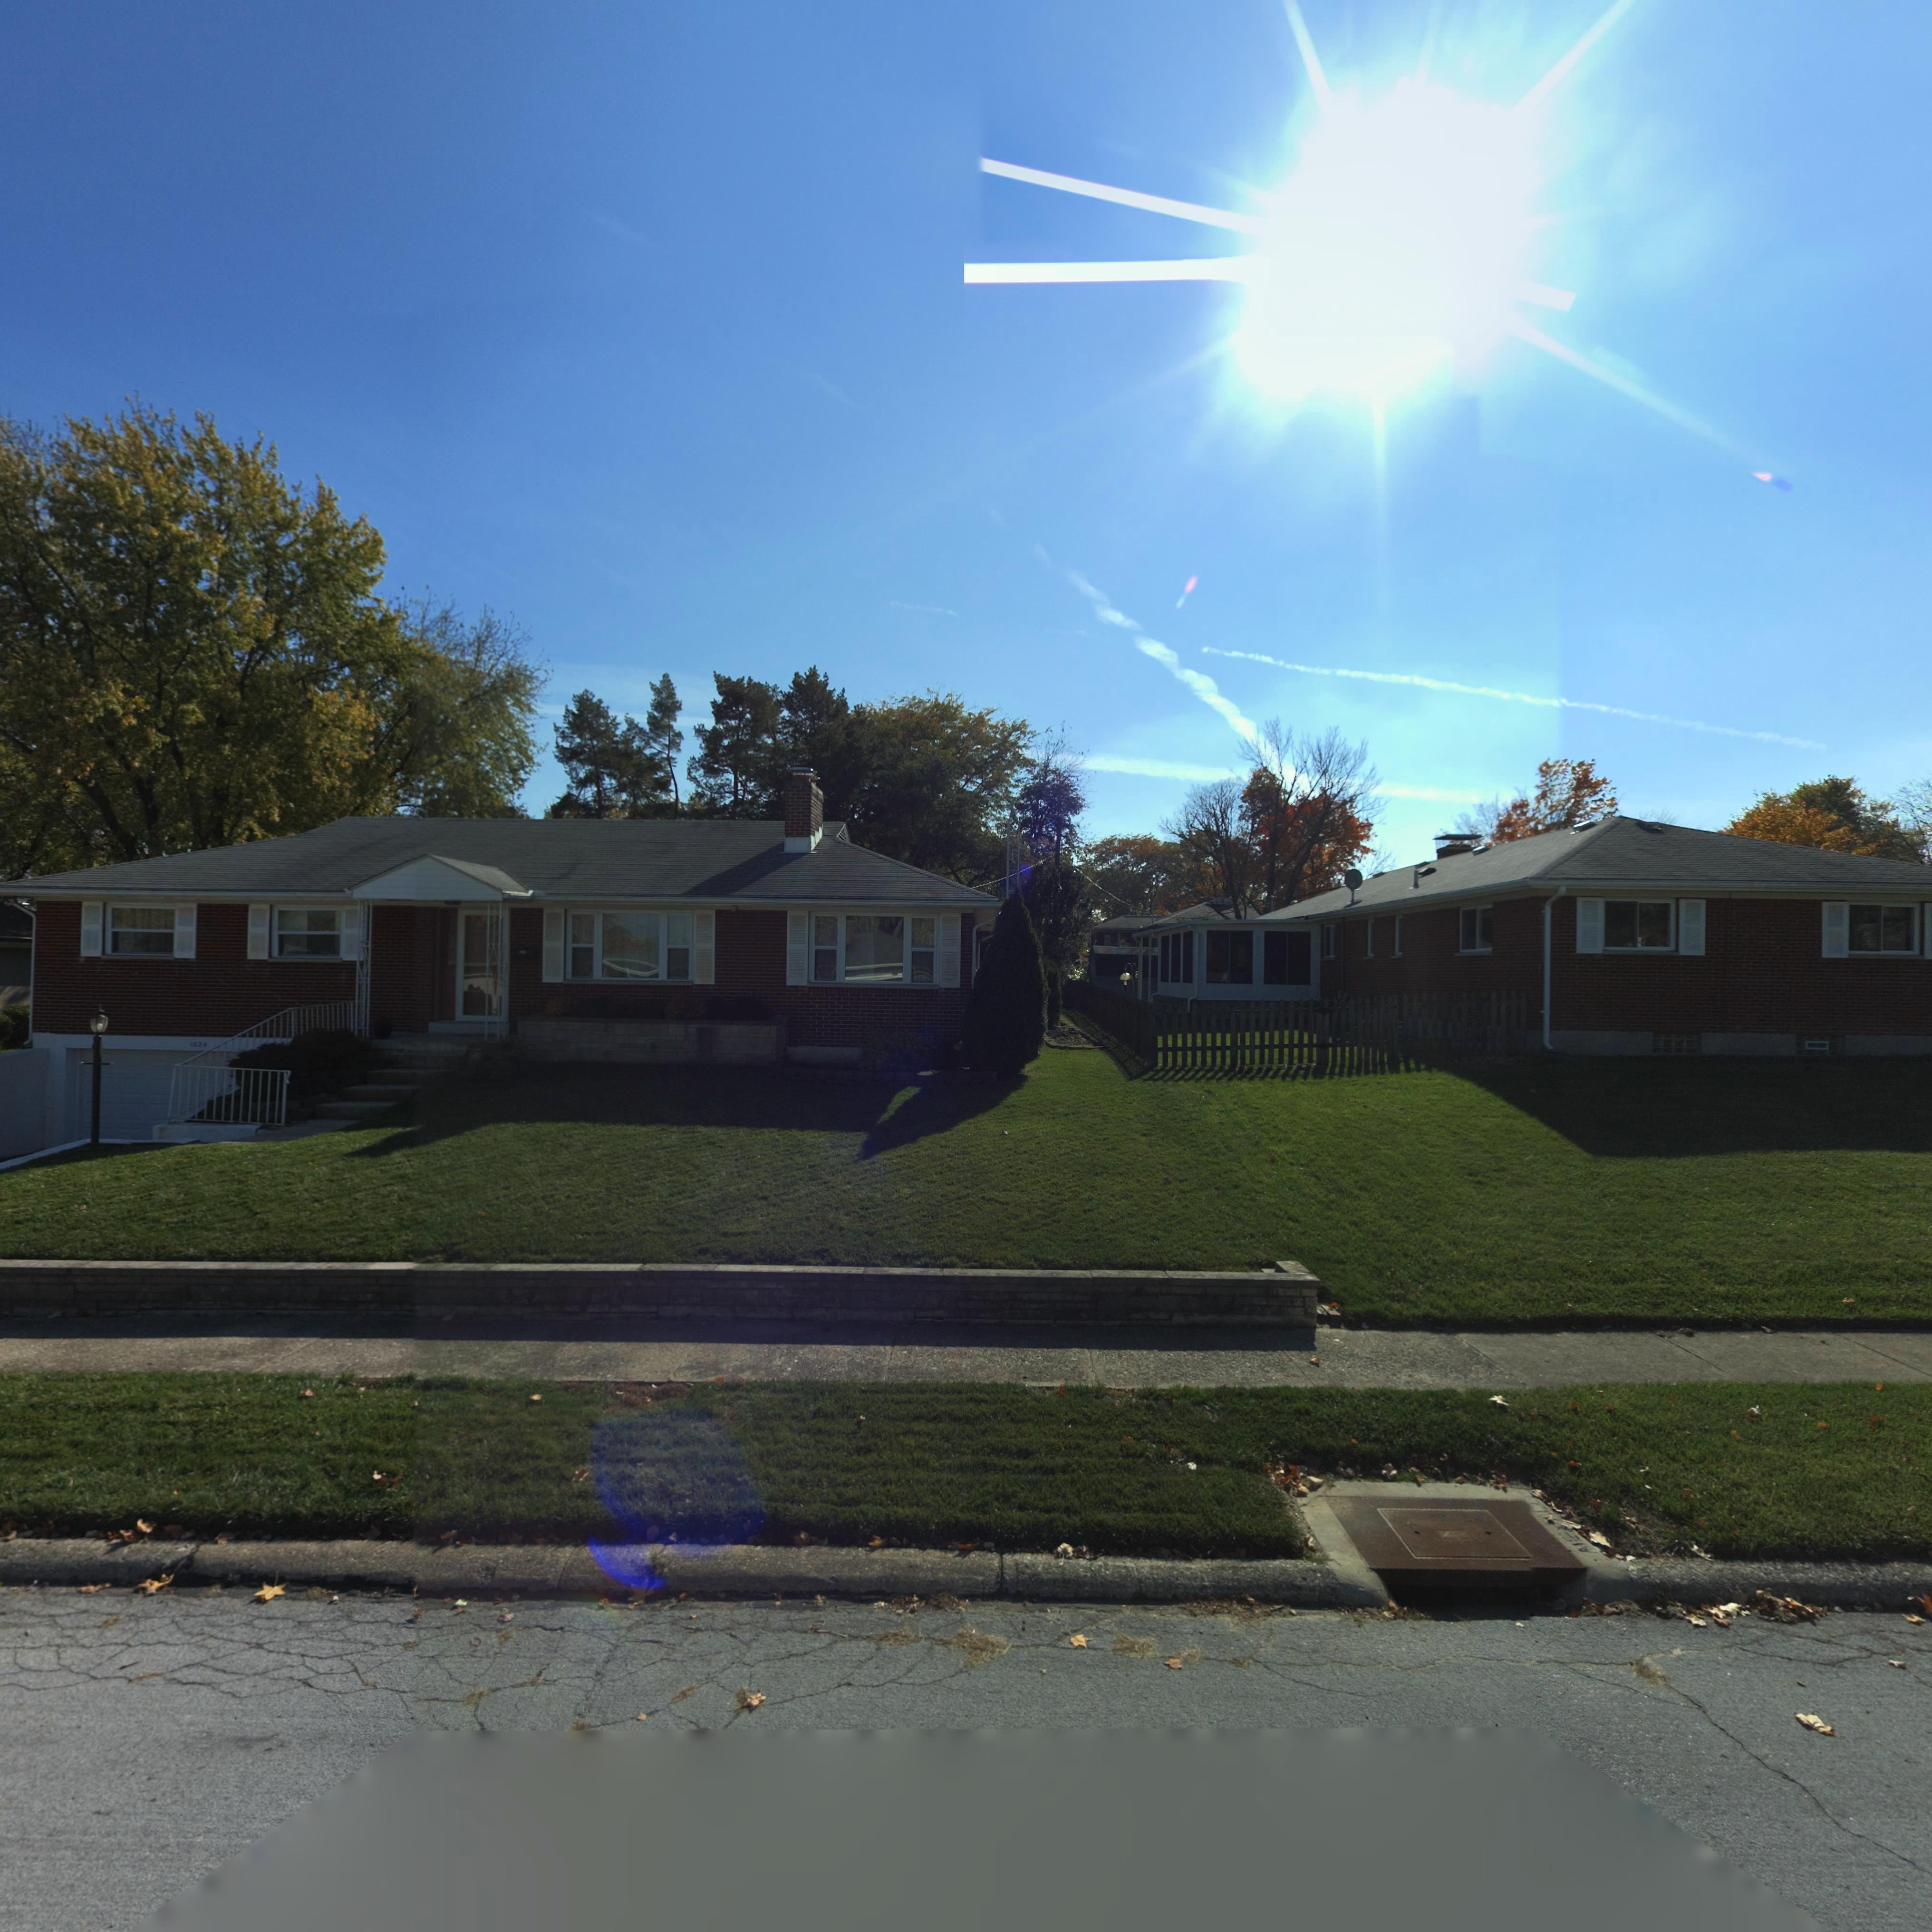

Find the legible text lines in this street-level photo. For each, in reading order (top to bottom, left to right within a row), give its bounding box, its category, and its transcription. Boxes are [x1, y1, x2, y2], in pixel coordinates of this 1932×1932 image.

[189, 1041, 206, 1047] StreetNumber: 1024